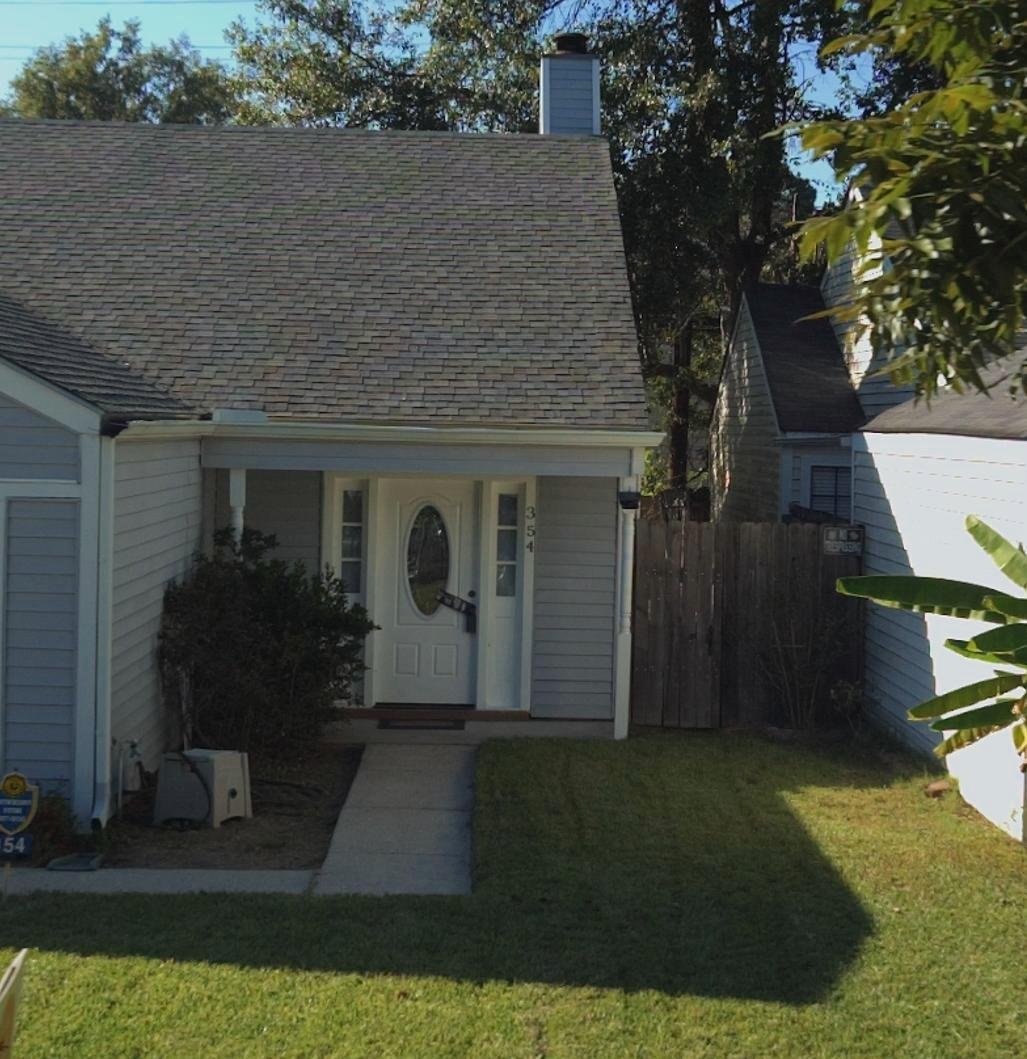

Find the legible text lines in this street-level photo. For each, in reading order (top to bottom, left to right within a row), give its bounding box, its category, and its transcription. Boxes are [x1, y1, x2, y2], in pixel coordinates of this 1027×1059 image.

[525, 505, 536, 554] StreetNumber: 354
[838, 529, 849, 540] None: NO
[826, 541, 860, 553] None: TRESPASSING
[2, 836, 26, 853] StreetNumber: 54